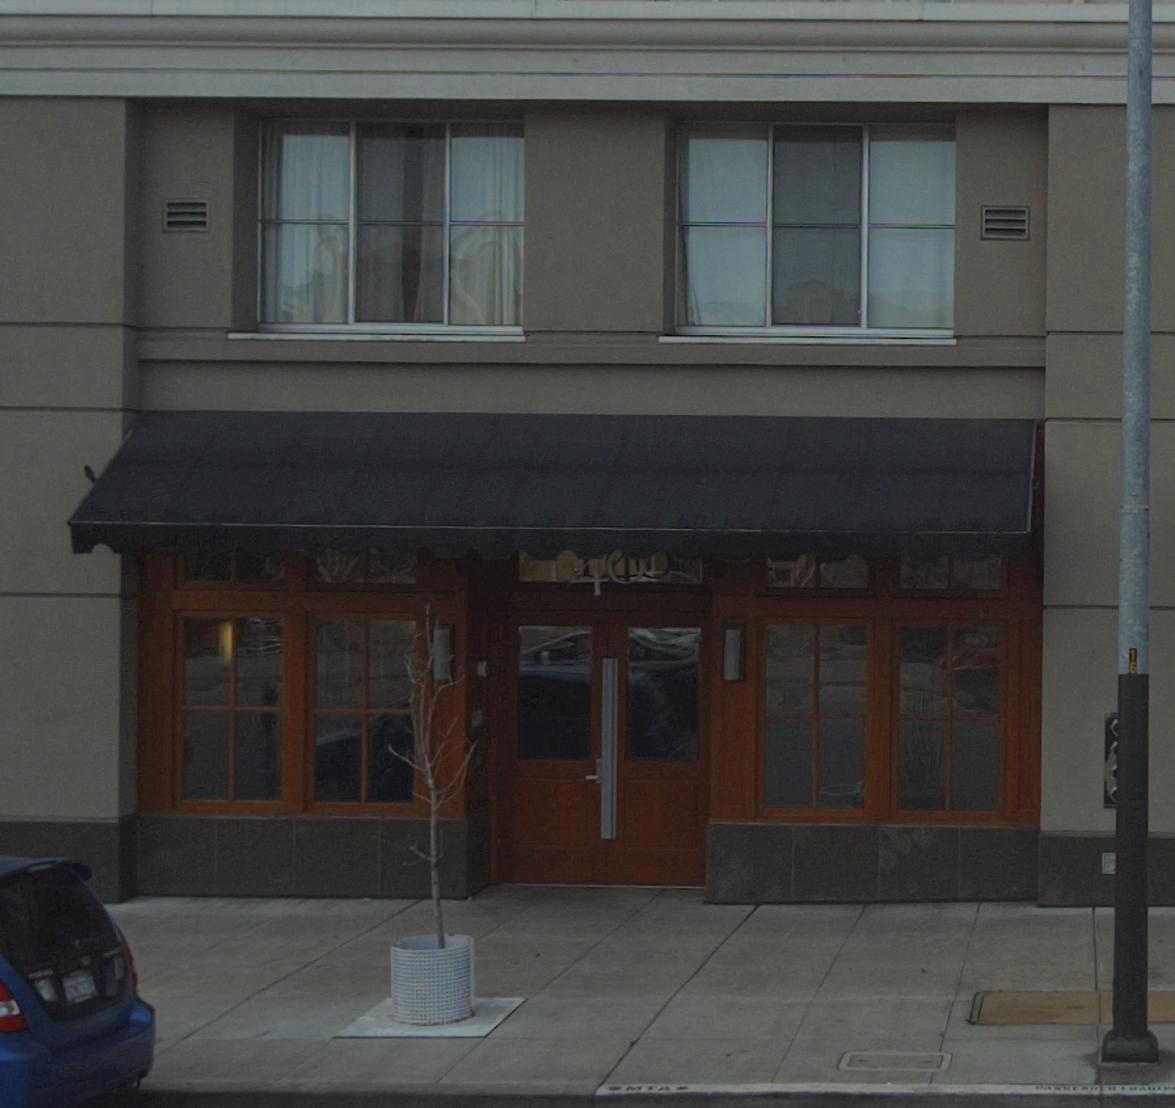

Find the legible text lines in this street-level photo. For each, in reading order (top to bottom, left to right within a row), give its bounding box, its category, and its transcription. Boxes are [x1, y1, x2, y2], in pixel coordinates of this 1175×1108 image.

[543, 546, 650, 598] StreetNumber: 140
[1130, 648, 1137, 674] None: 16
[626, 1085, 672, 1092] None: MTA